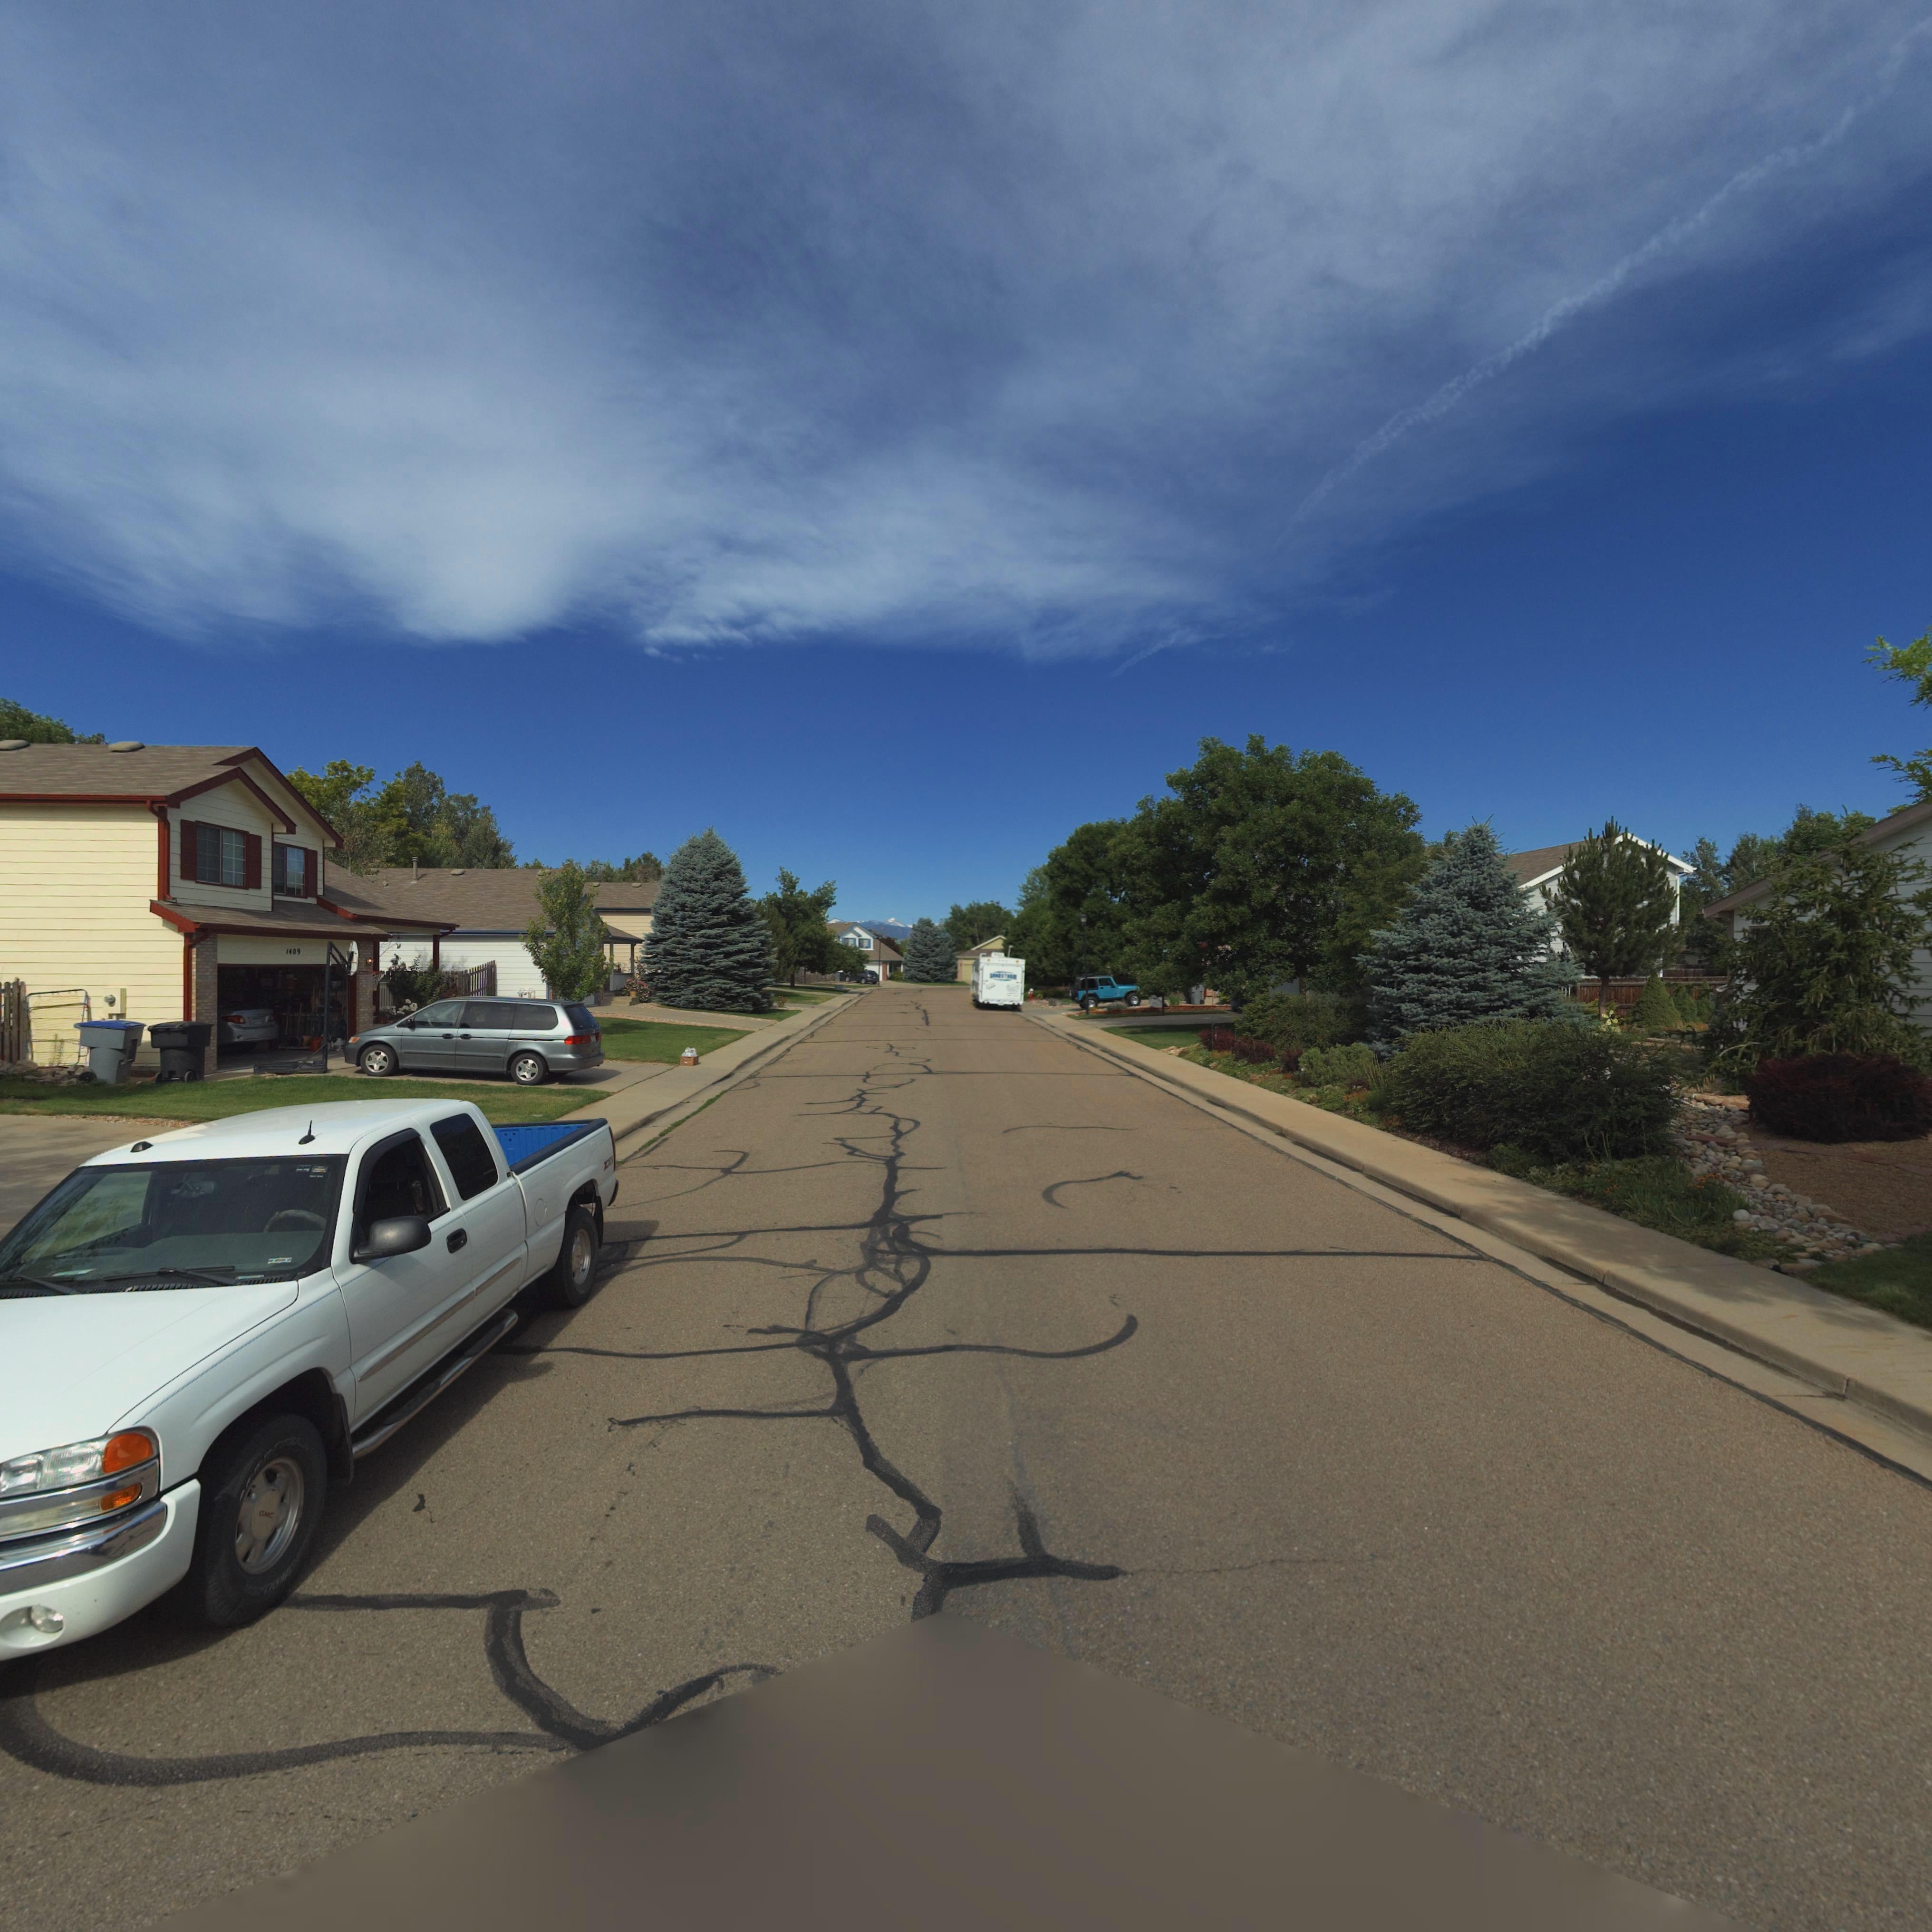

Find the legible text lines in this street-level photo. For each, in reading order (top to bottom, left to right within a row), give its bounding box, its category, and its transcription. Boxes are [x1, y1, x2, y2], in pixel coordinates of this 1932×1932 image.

[285, 948, 300, 956] StreetNumber: 1409